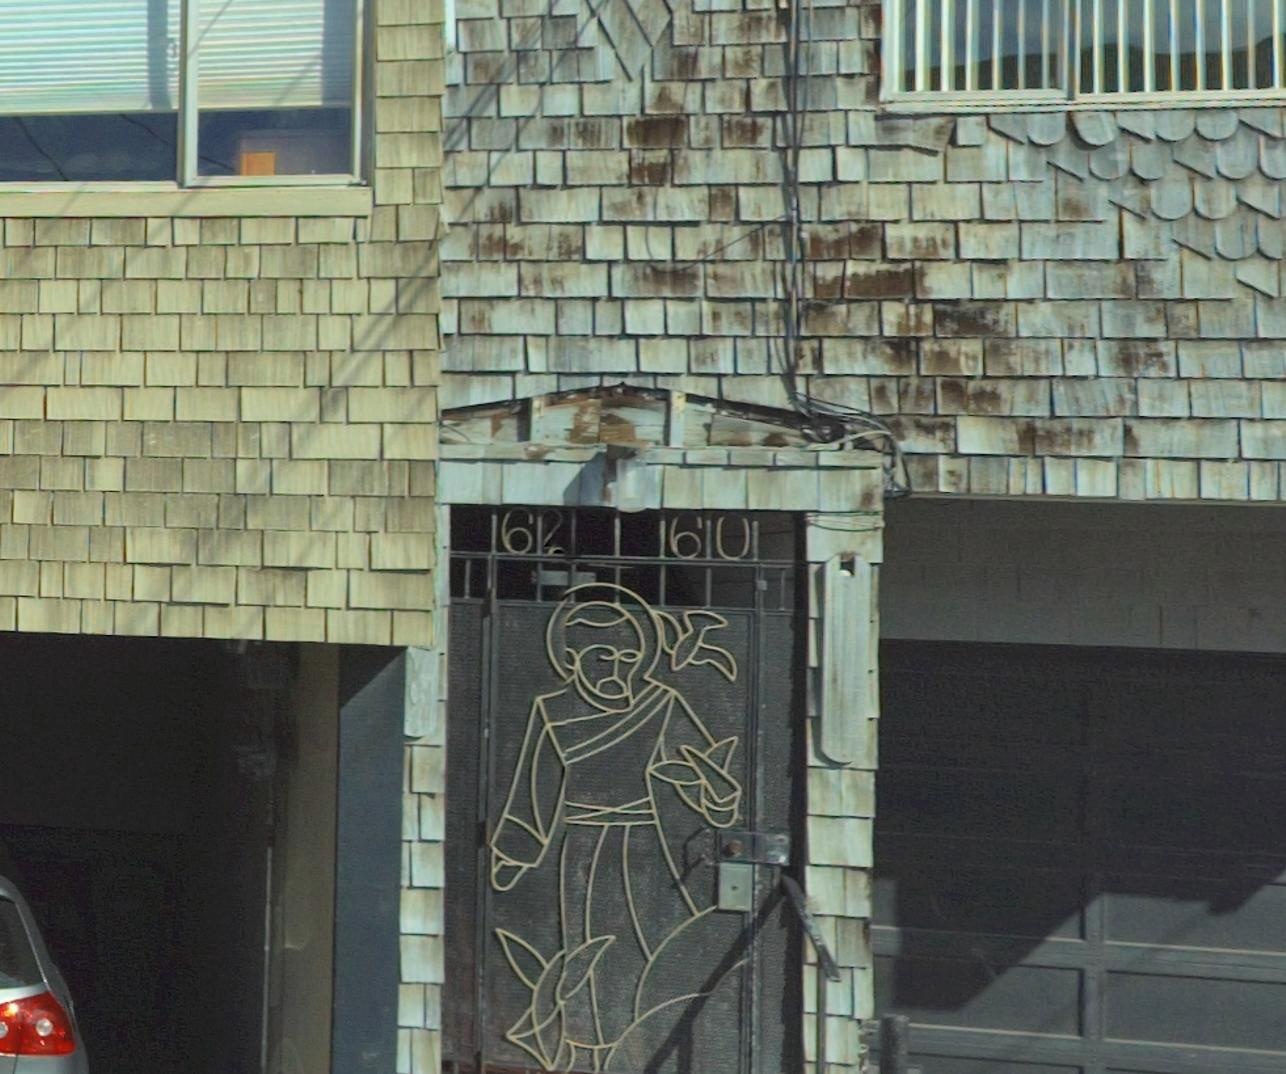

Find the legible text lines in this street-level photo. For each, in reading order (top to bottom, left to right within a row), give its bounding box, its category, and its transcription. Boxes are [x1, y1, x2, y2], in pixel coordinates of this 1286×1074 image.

[499, 505, 571, 559] StreetNumber: 6*2
[667, 510, 753, 562] StreetNumber: 6*0